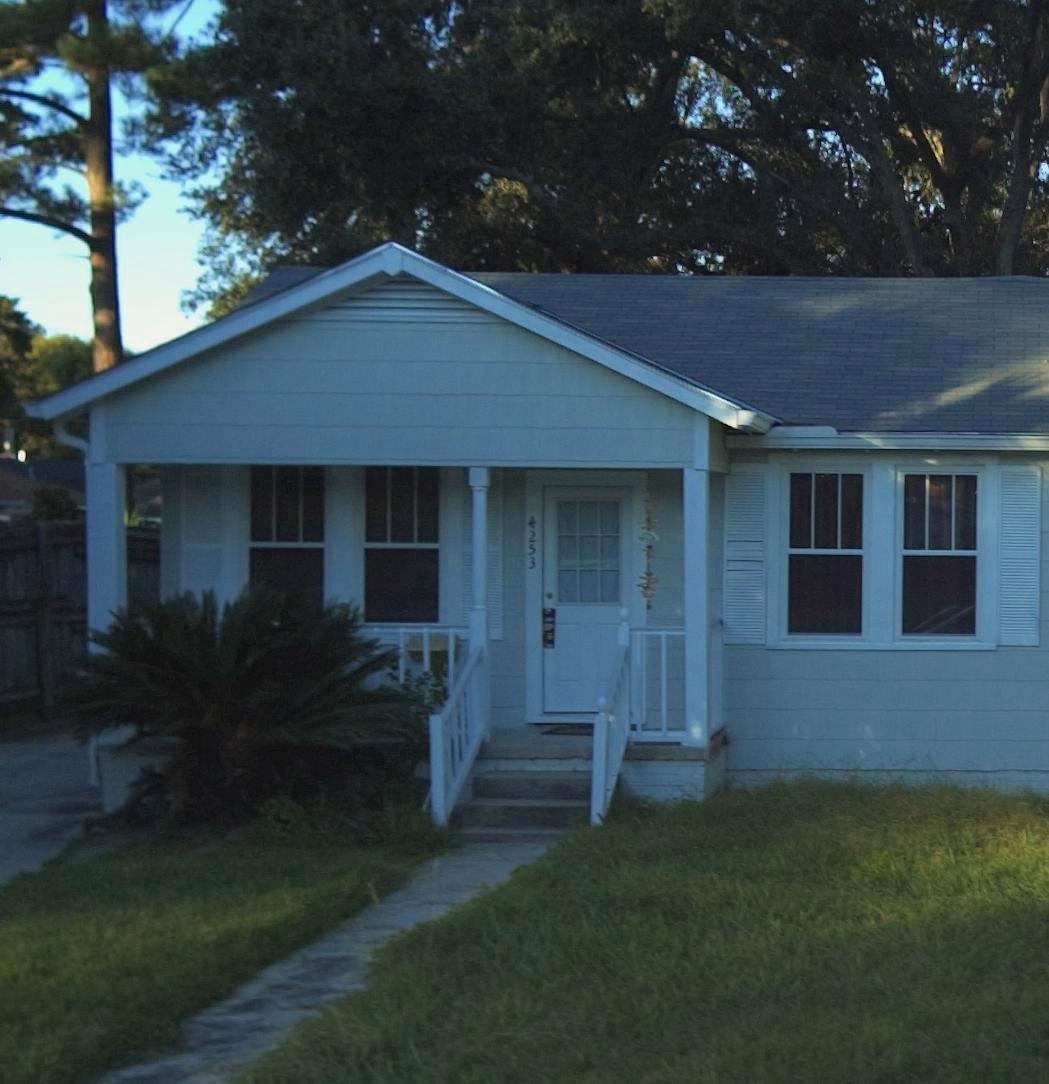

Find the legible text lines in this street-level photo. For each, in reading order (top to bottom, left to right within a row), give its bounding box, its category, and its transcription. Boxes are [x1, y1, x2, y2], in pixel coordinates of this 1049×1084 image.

[526, 514, 538, 571] StreetNumber: 4253